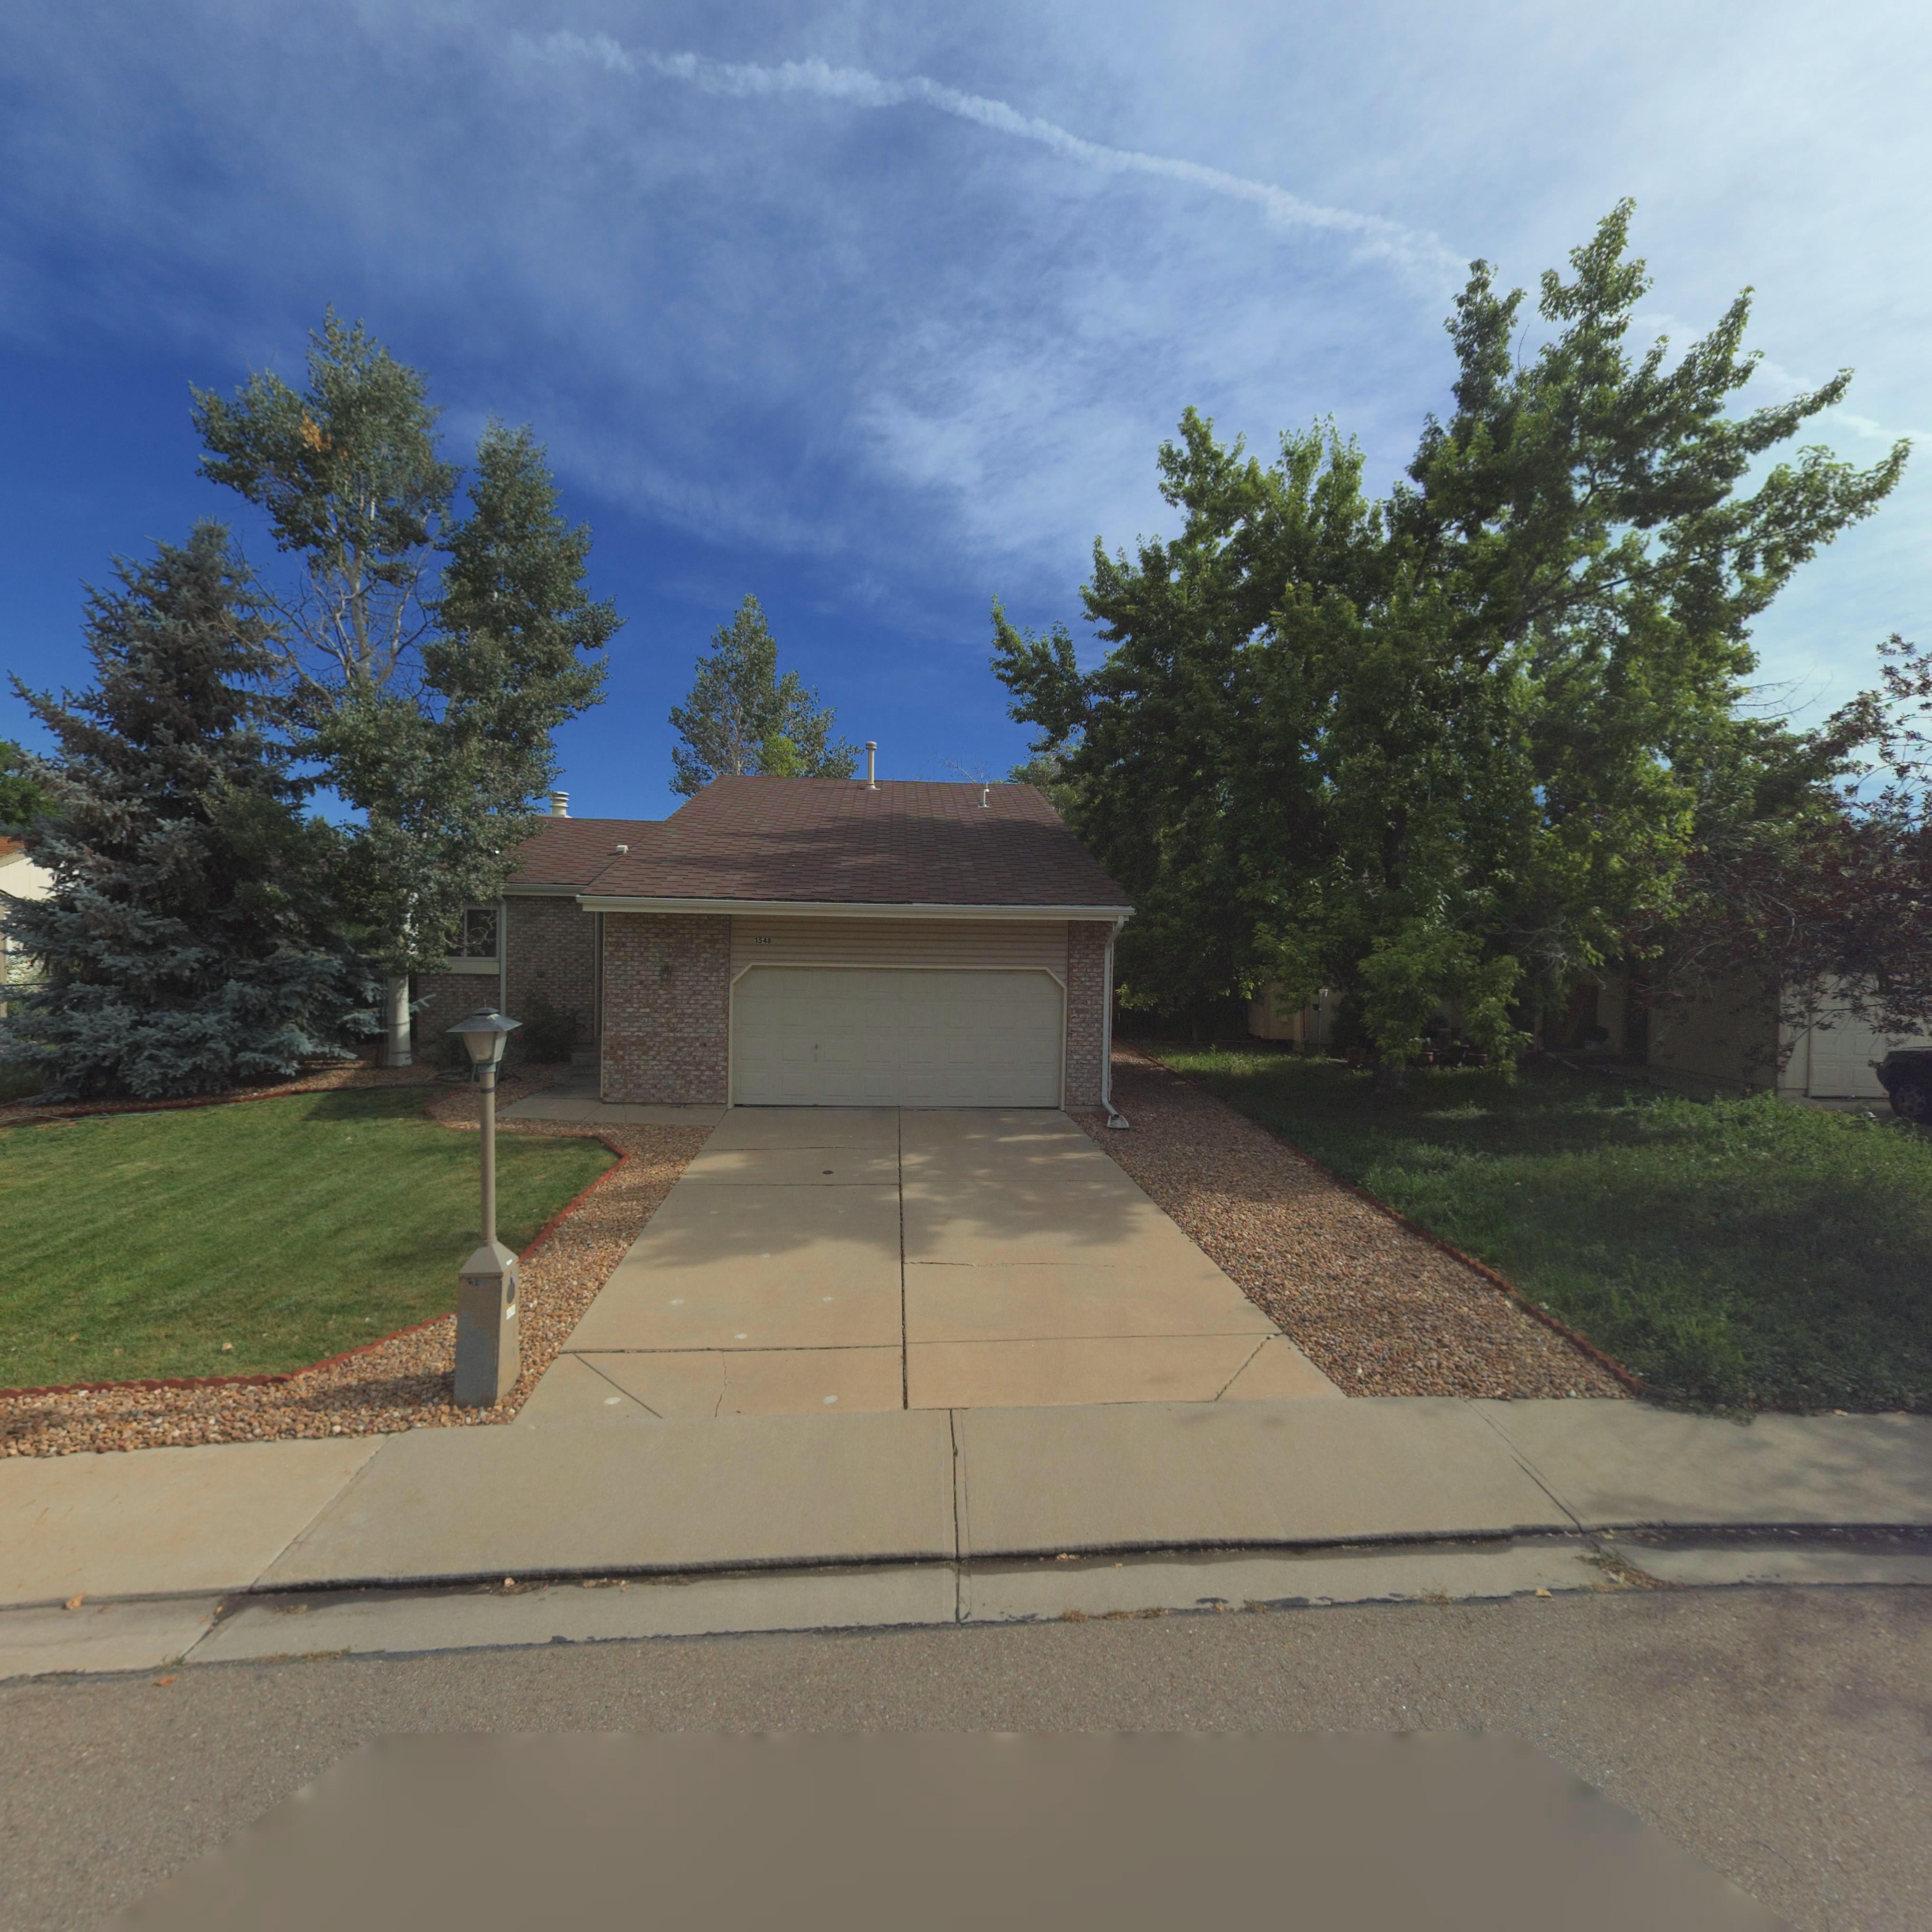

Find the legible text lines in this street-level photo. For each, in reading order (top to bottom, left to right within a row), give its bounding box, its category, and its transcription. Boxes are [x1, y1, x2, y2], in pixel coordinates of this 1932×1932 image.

[754, 937, 772, 943] StreetNumber: 1548